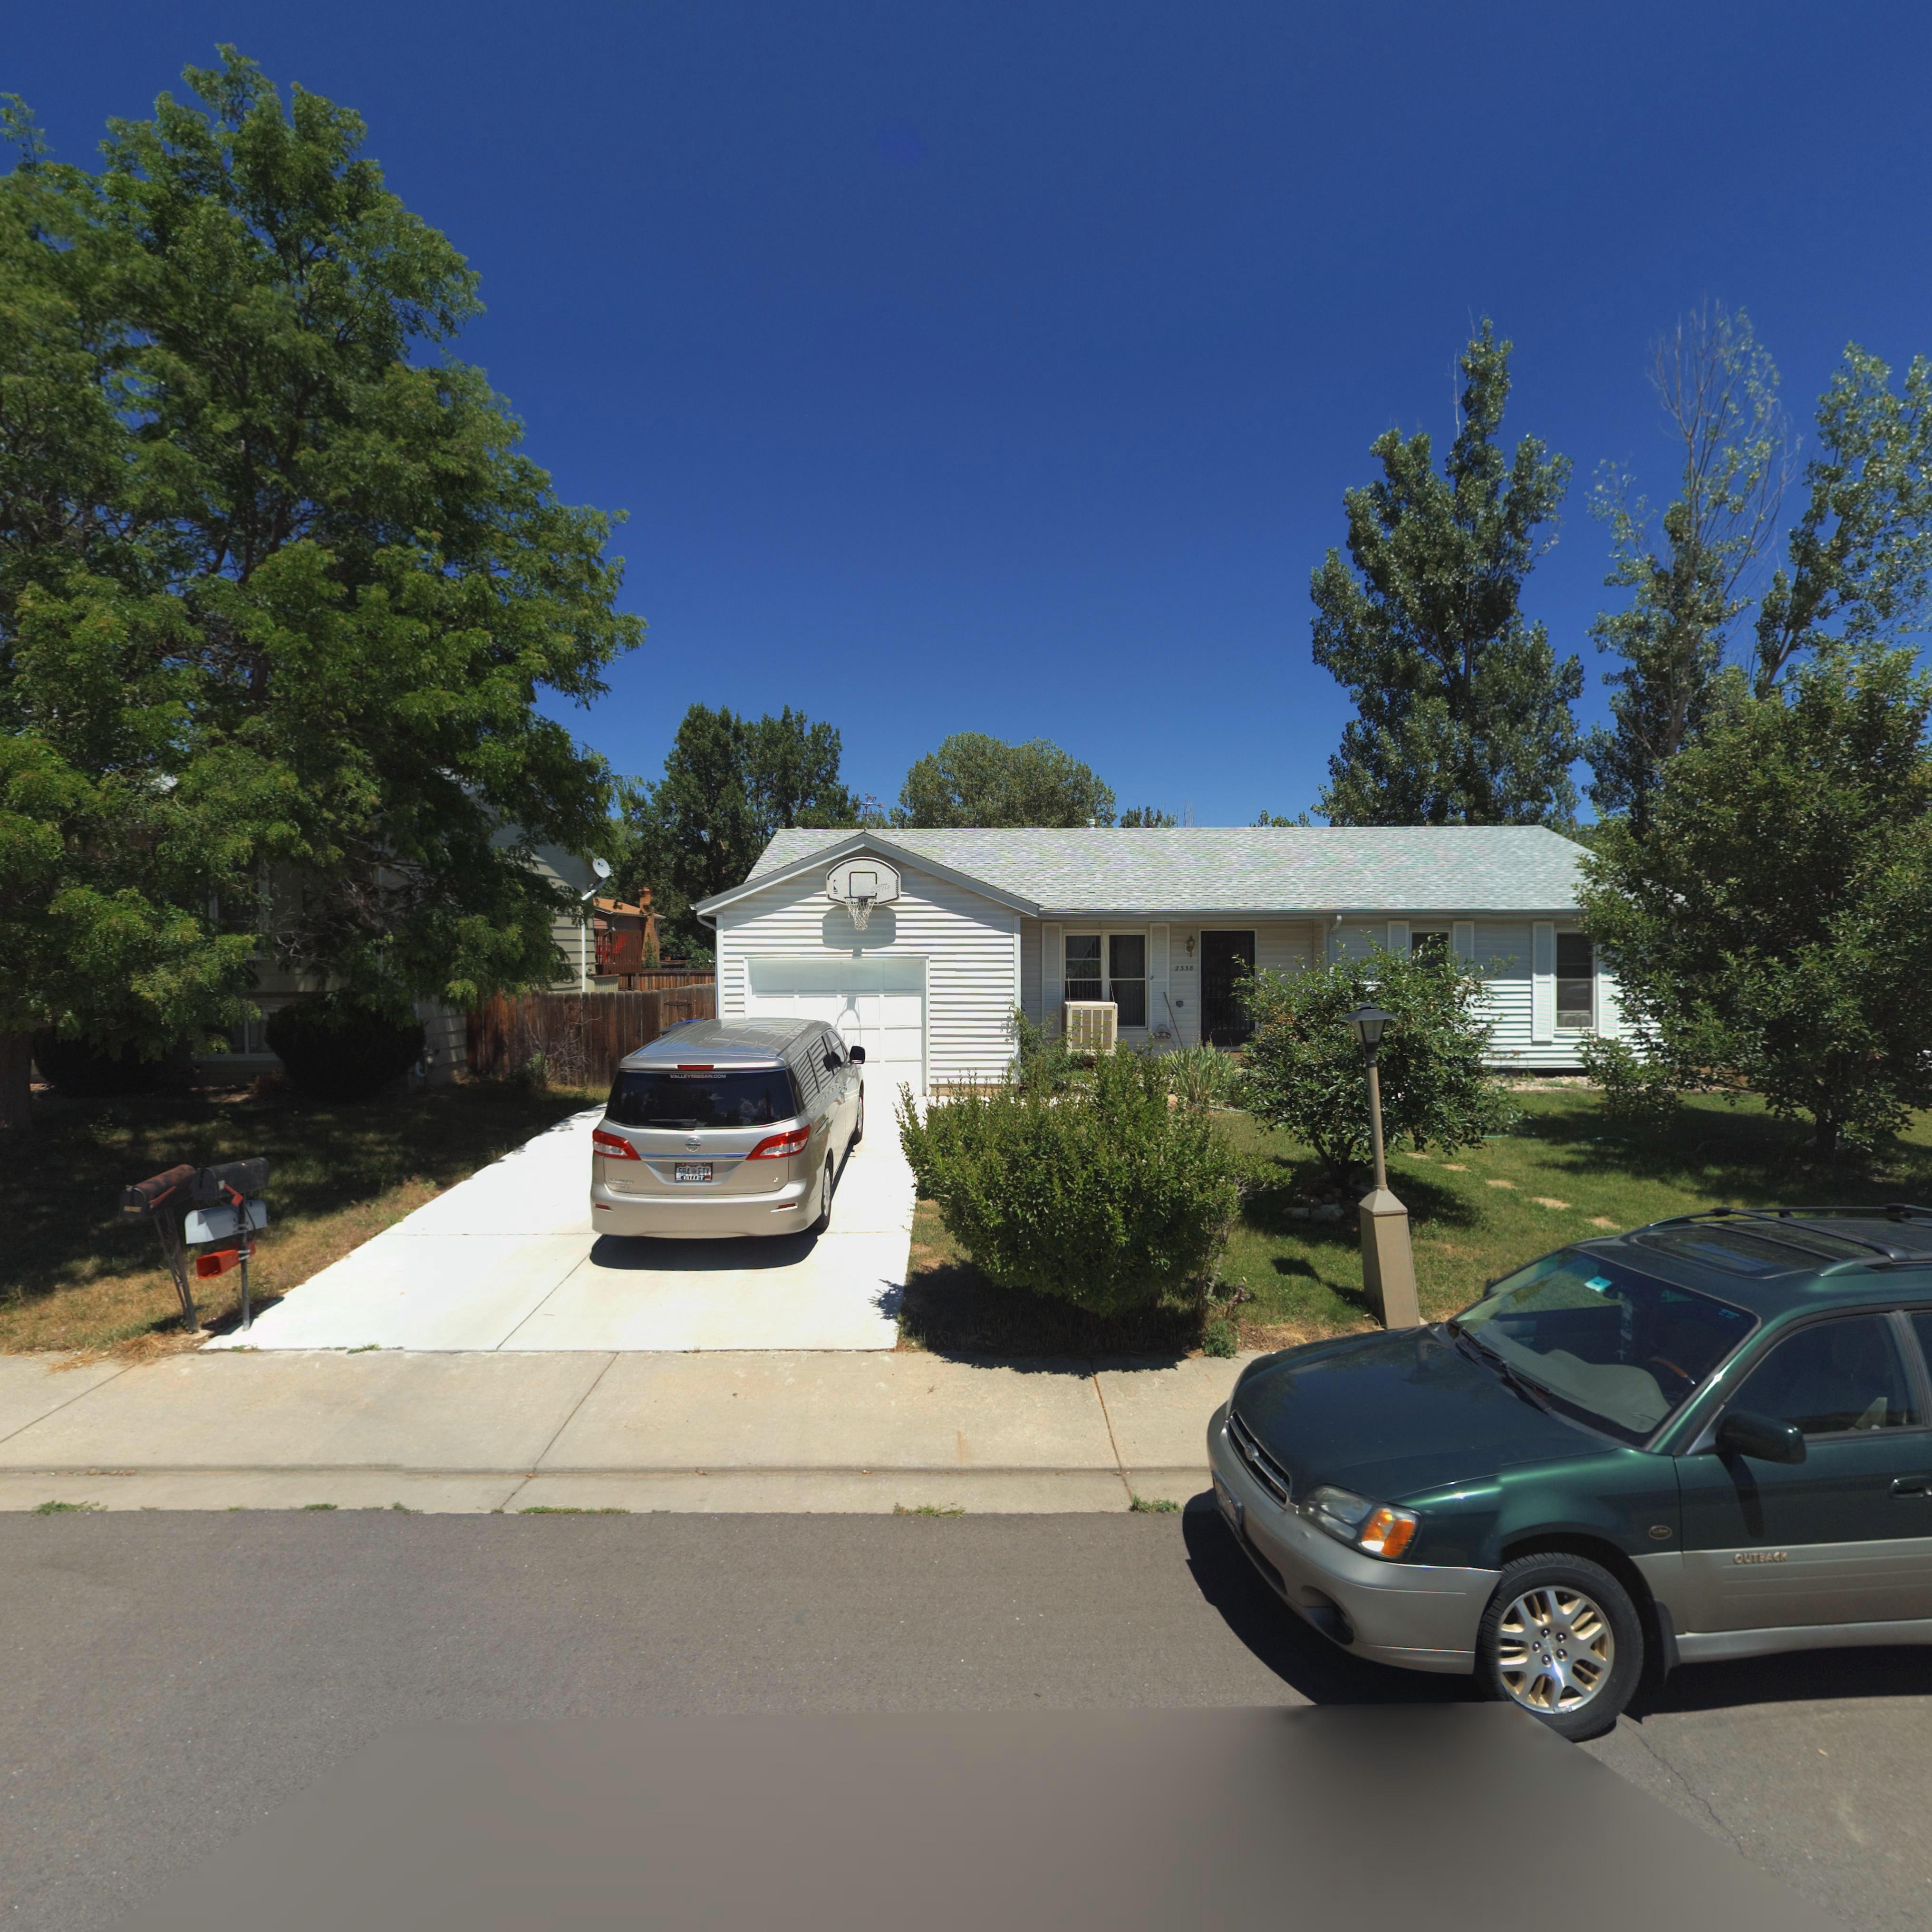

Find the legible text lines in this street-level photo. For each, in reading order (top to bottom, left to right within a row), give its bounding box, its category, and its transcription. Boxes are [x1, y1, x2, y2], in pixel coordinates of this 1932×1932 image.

[1174, 965, 1193, 971] StreetNumber: 2338